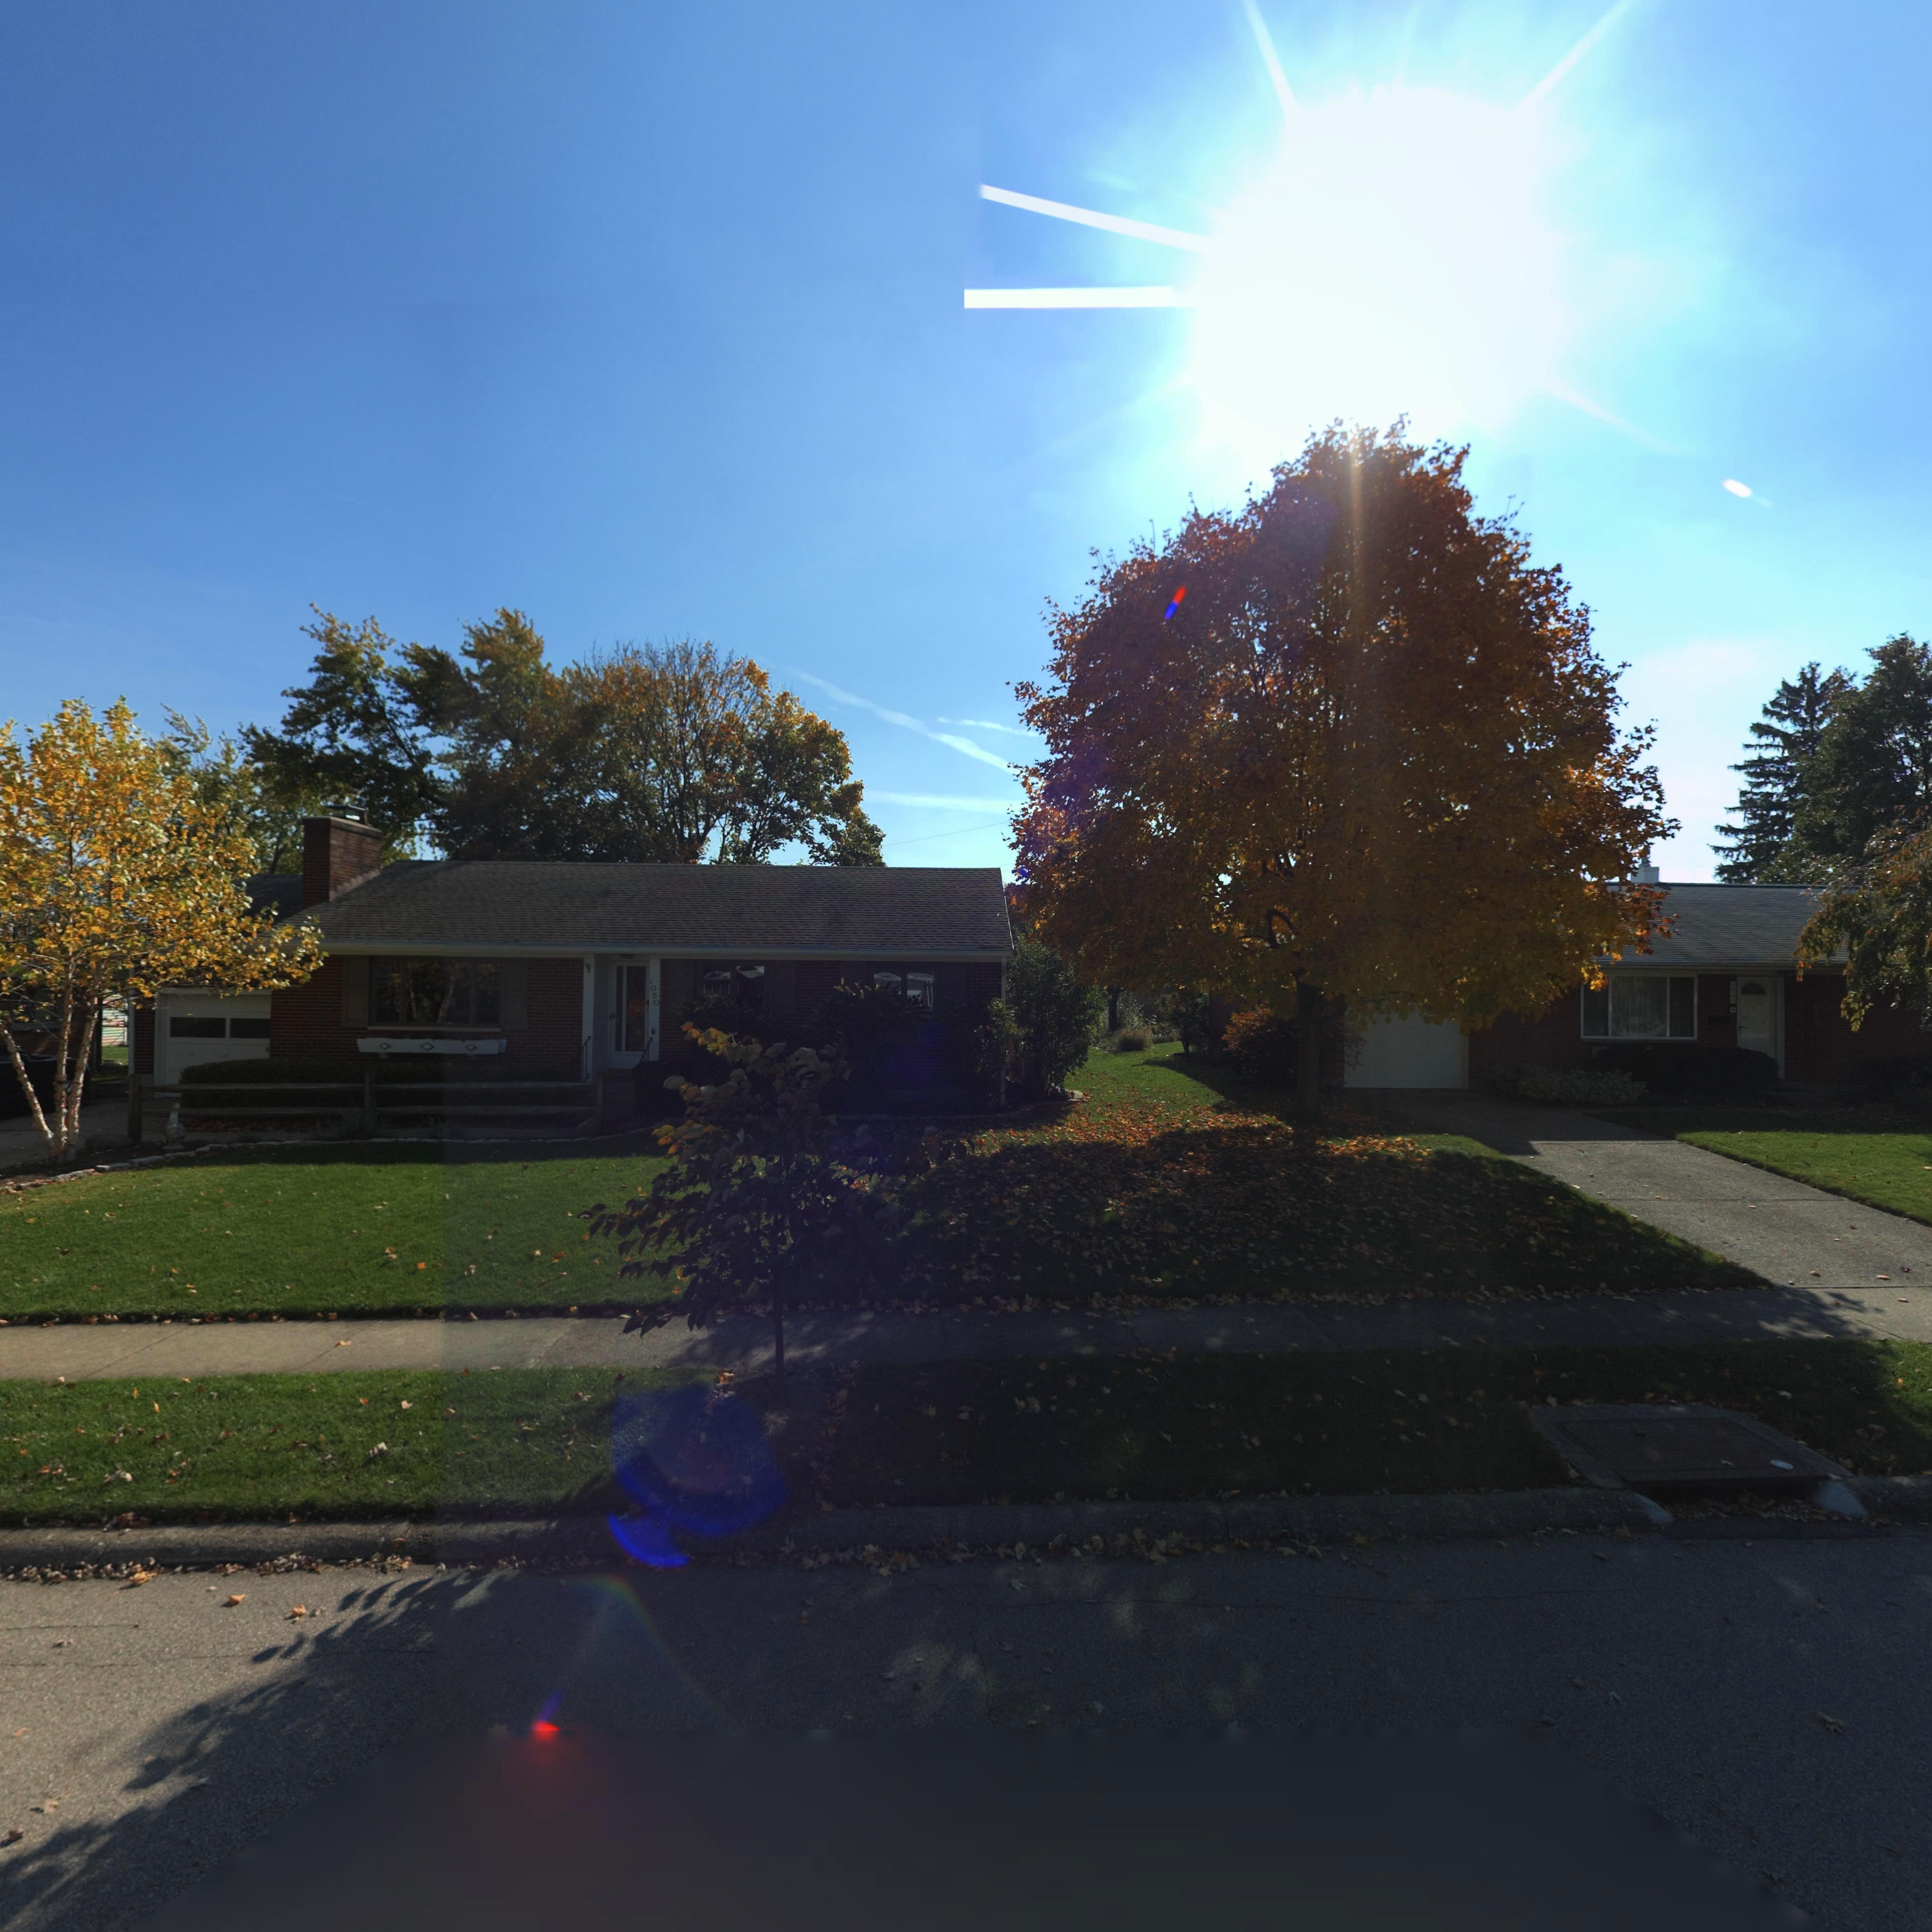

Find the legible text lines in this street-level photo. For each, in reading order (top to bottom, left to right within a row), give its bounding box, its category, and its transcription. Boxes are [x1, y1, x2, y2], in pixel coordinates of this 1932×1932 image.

[649, 977, 659, 1006] StreetNumber: 1050